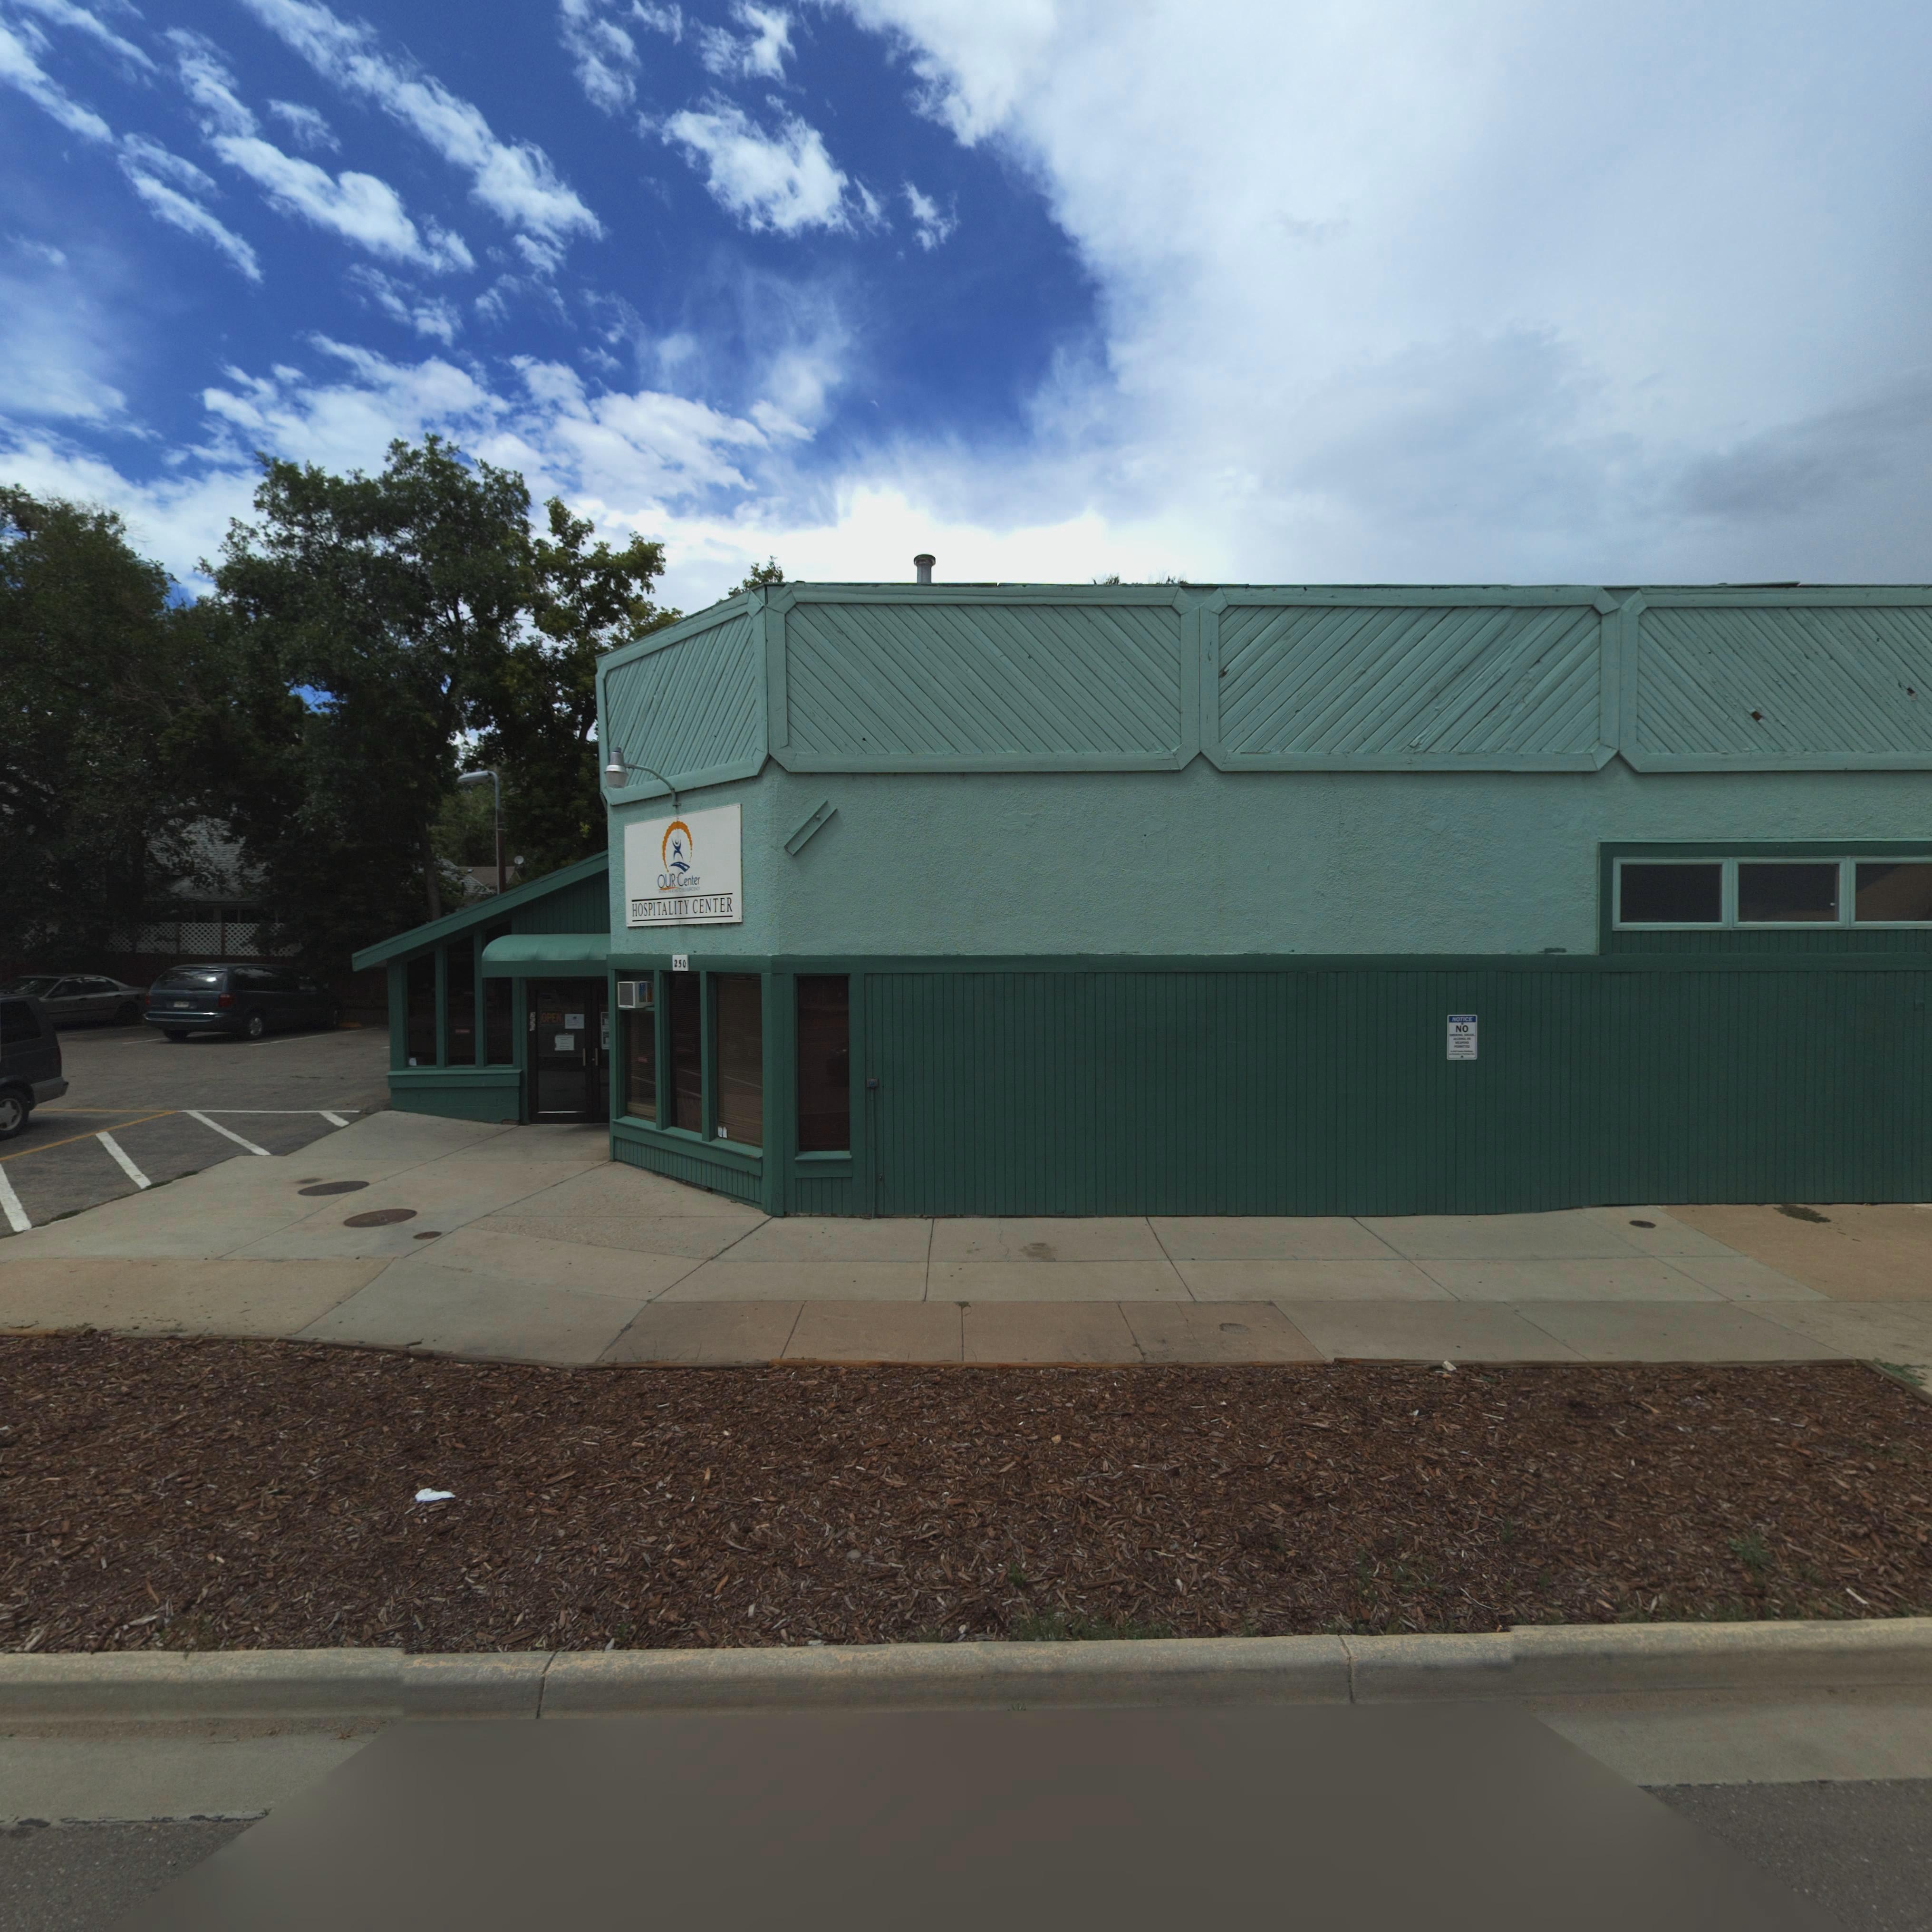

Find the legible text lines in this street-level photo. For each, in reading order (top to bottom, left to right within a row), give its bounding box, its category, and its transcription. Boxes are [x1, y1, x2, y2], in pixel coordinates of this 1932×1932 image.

[656, 871, 700, 889] BusinessName: OUR Center
[674, 959, 686, 968] StreetNumber: 250
[530, 1012, 535, 1030] StreetNumber: 250
[1455, 1024, 1468, 1033] None: x*